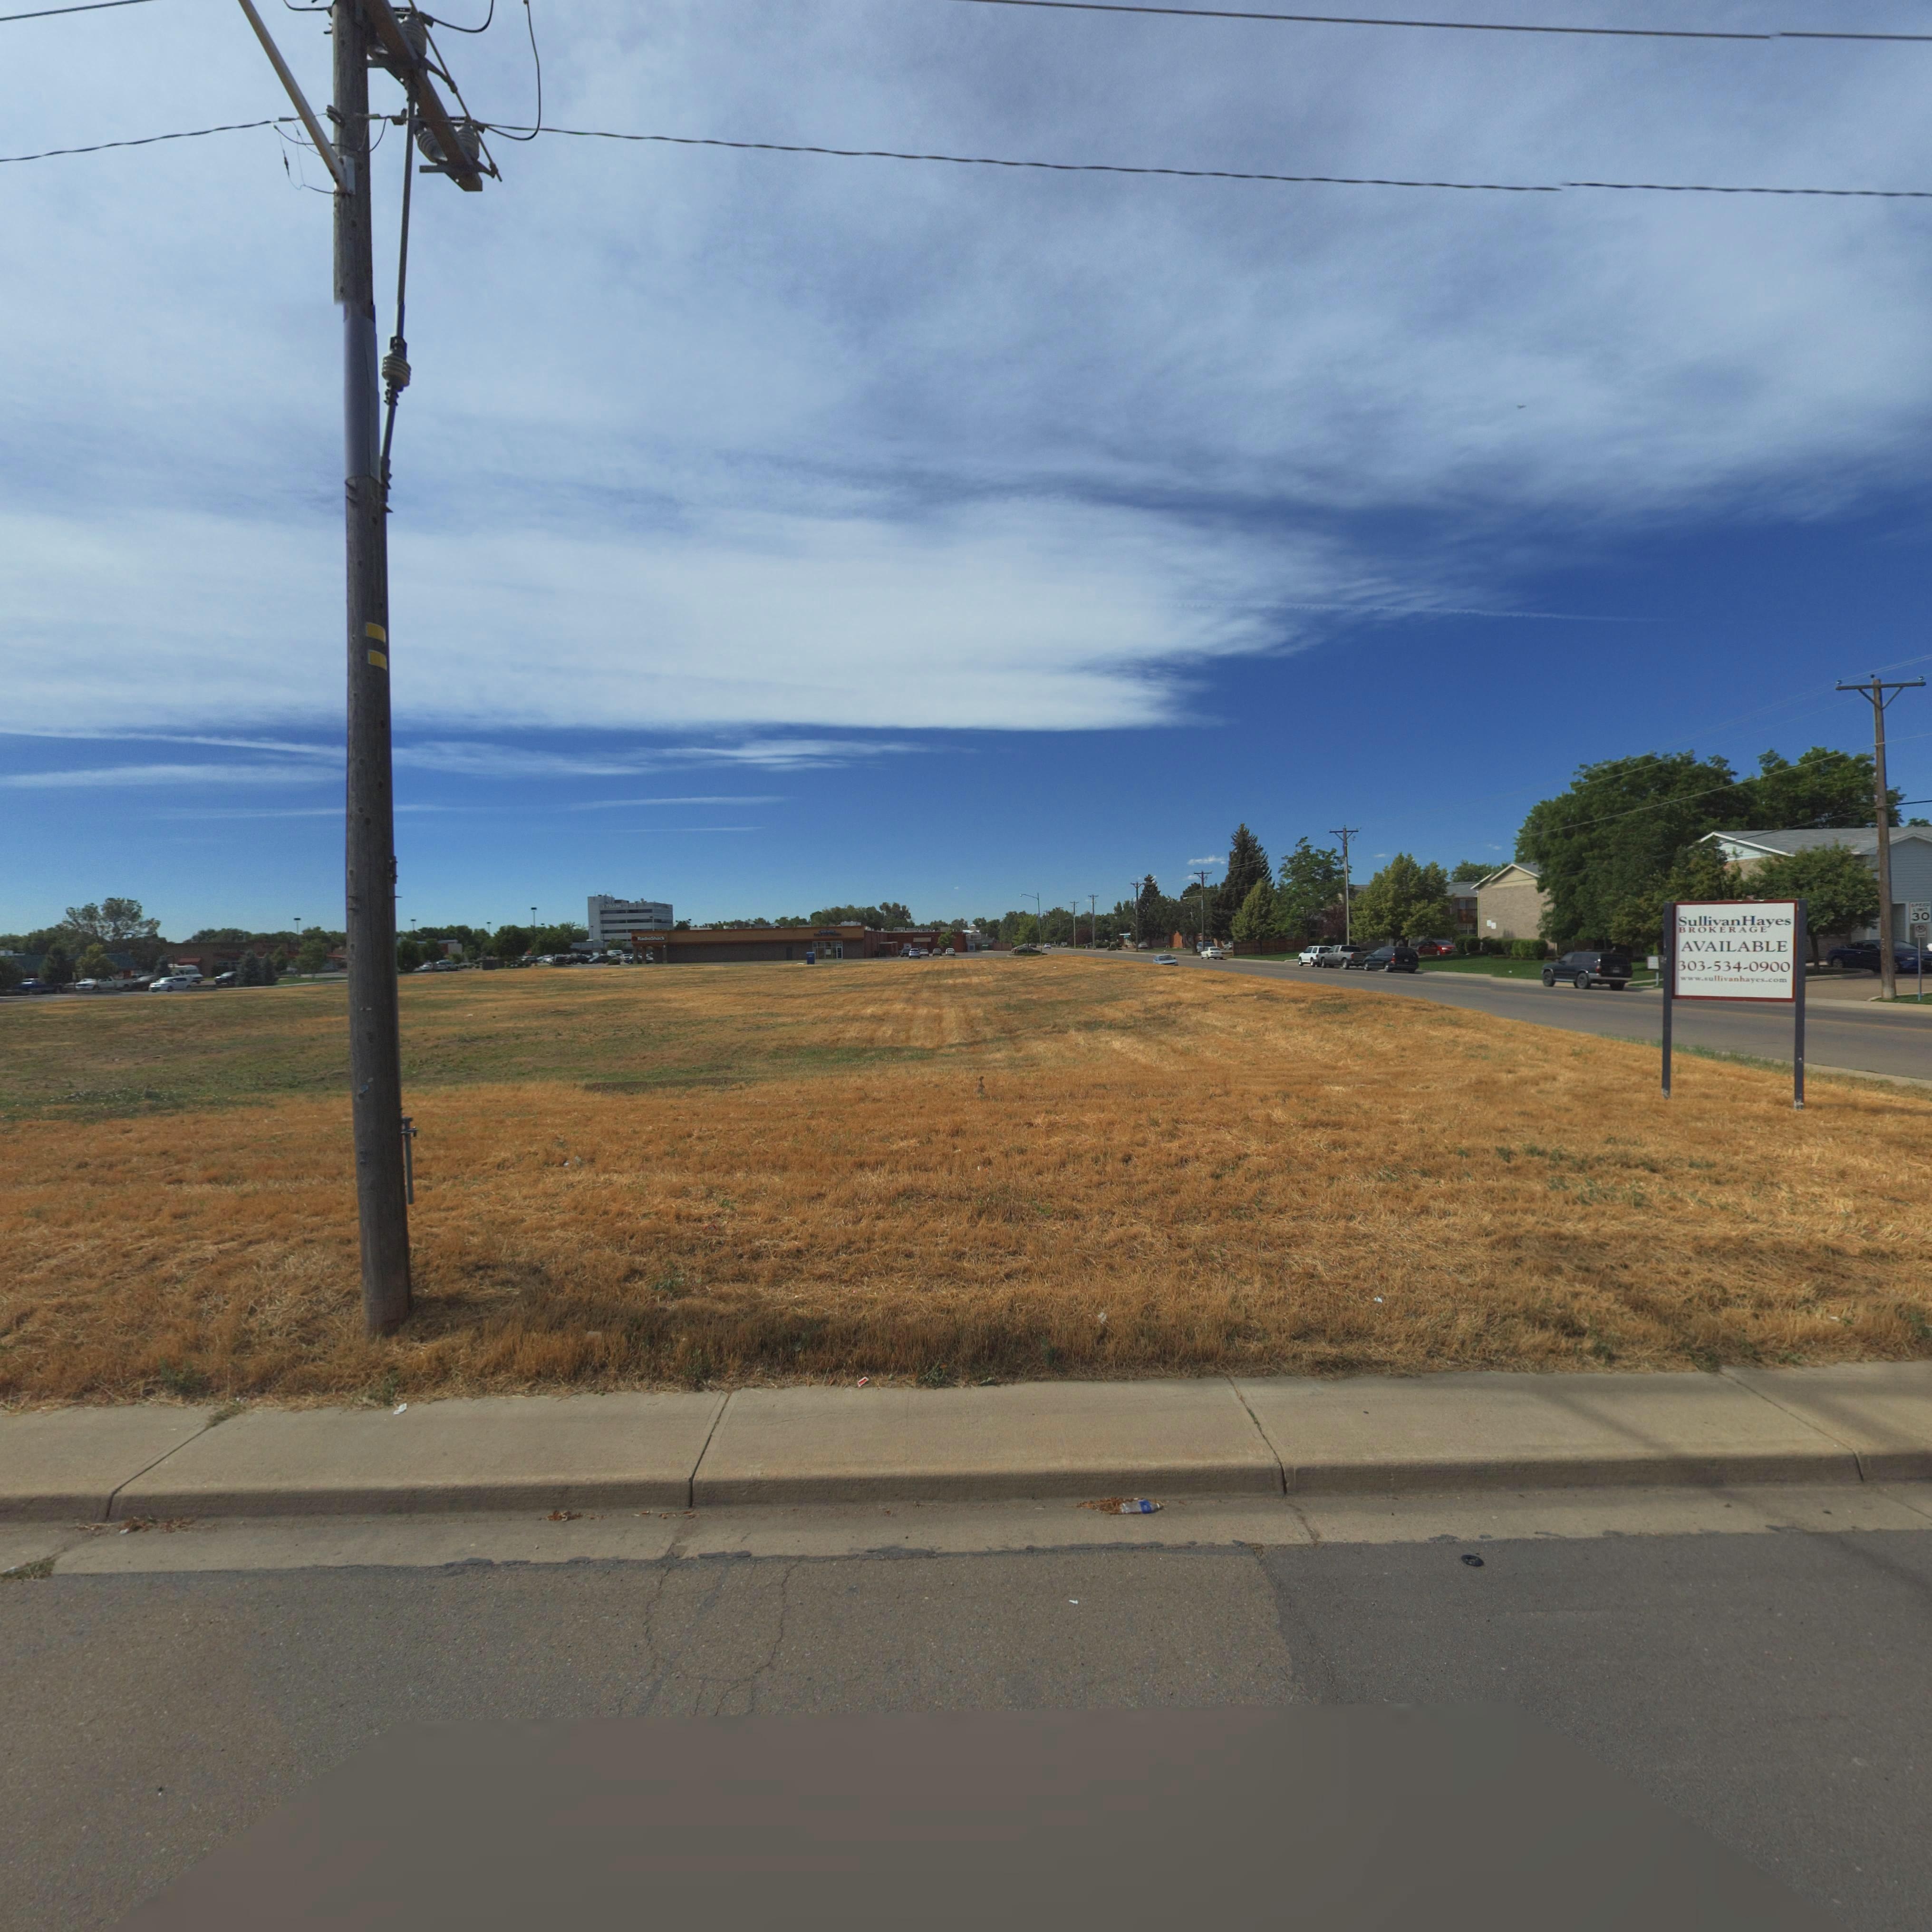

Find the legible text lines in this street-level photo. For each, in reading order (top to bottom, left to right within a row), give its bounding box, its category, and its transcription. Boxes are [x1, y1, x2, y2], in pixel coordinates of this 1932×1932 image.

[601, 903, 622, 909] BusinessName: 1*TBAN*
[637, 936, 665, 941] StreetNumber: RadioShack